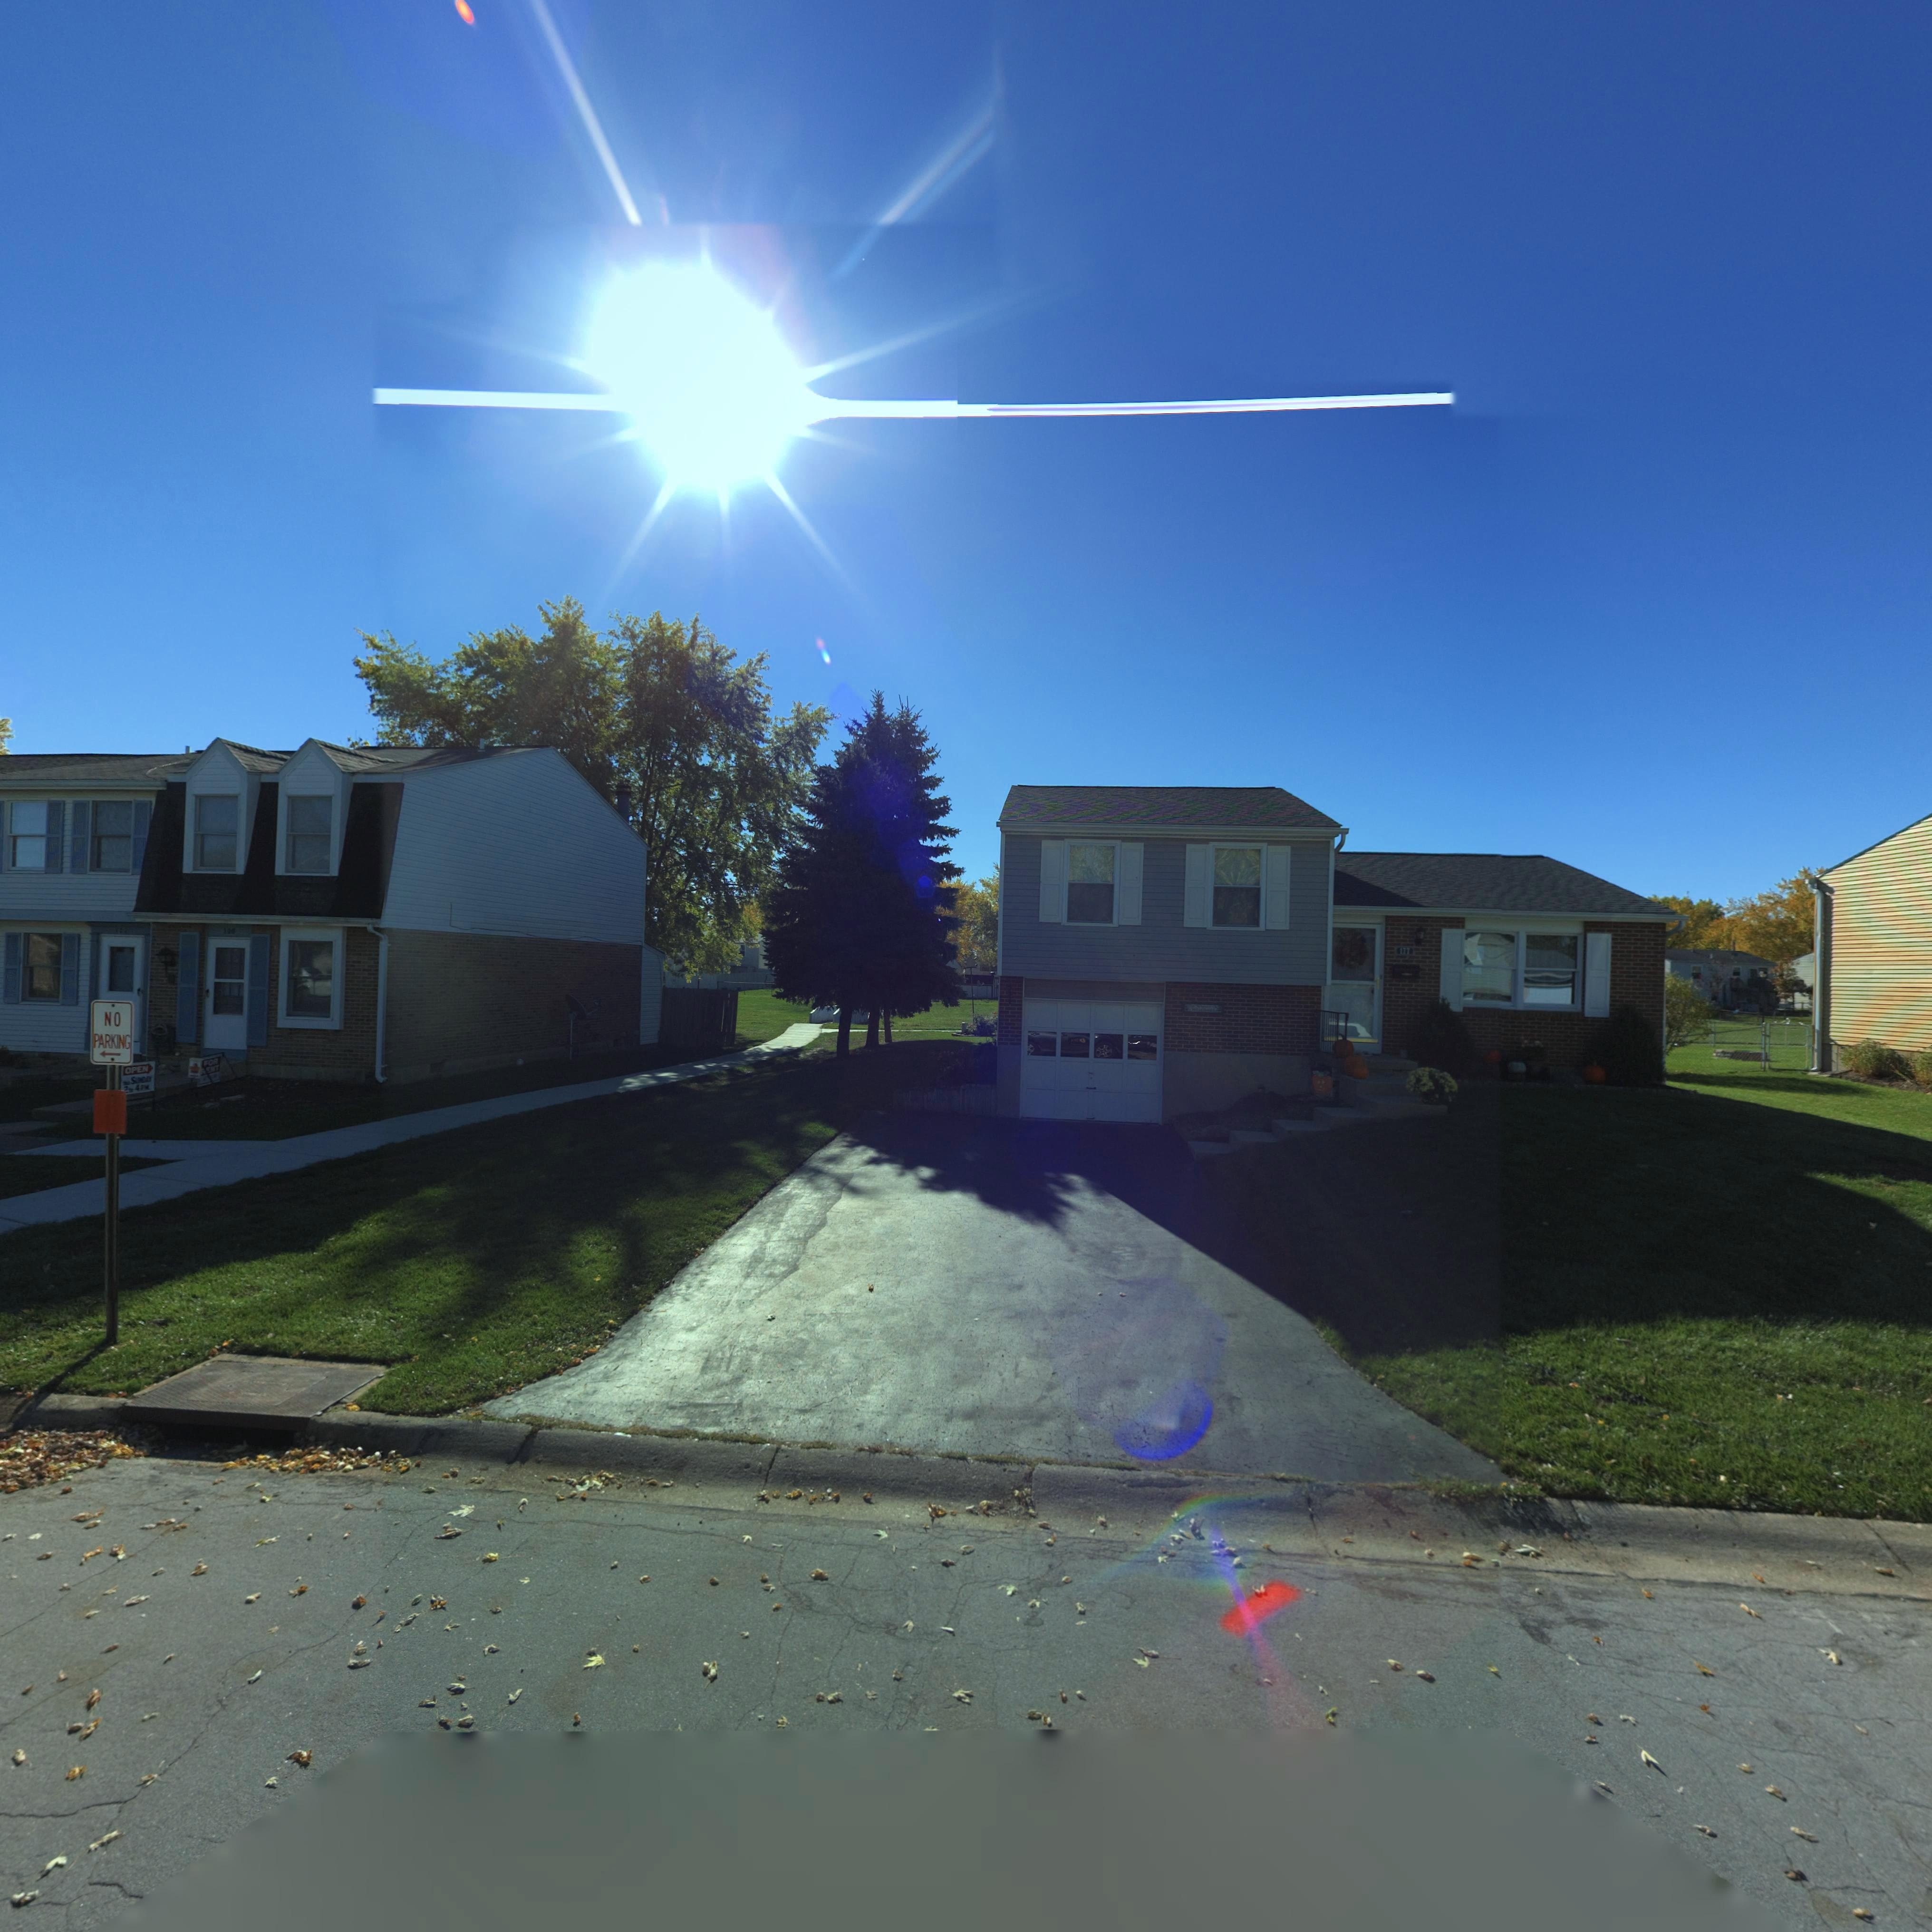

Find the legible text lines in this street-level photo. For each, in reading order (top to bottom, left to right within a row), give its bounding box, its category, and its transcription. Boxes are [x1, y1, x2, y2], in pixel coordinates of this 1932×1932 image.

[223, 927, 236, 935] StreetNumber: 10*
[1399, 947, 1411, 956] StreetNumber: 17*